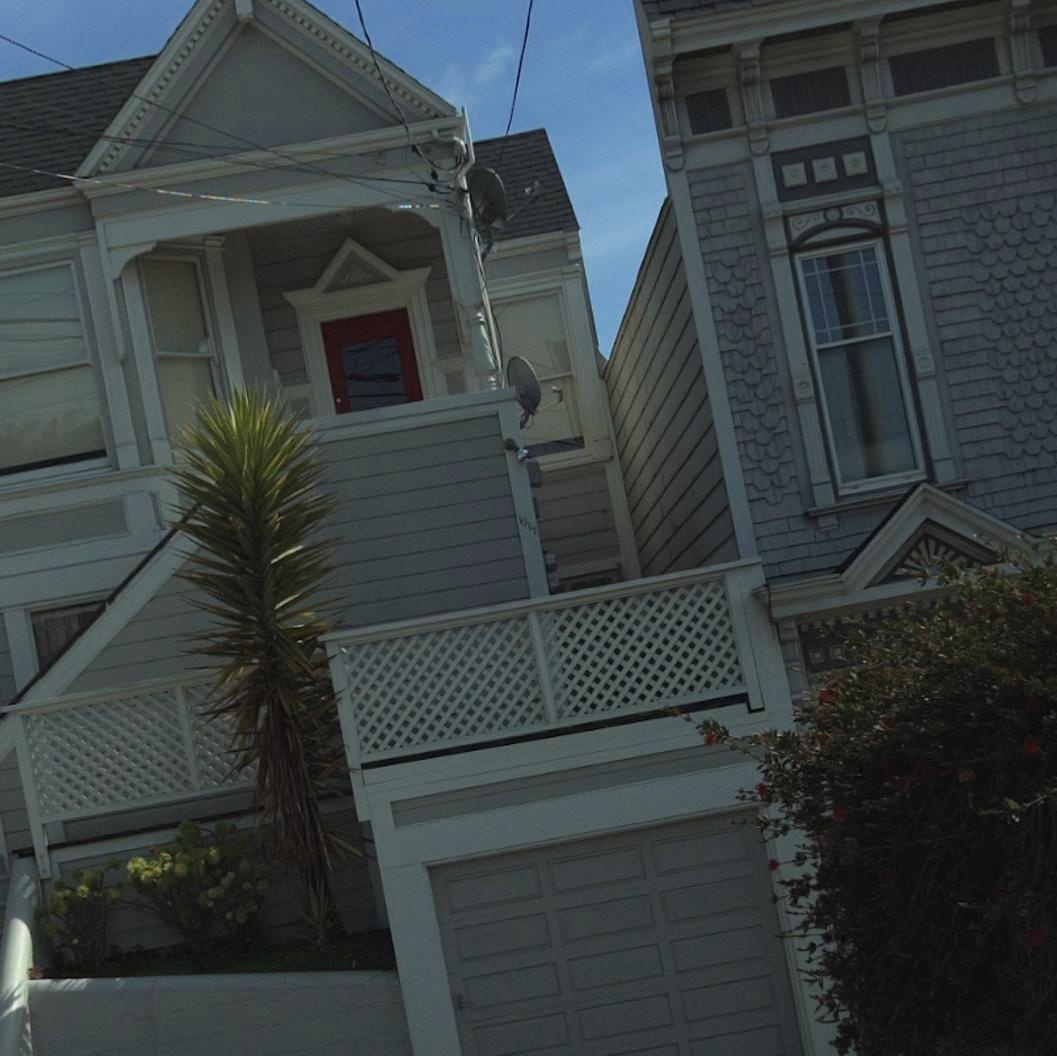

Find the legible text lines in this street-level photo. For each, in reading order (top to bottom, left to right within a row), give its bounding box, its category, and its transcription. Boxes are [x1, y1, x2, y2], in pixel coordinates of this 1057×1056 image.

[517, 512, 538, 538] StreetNumber: 1017